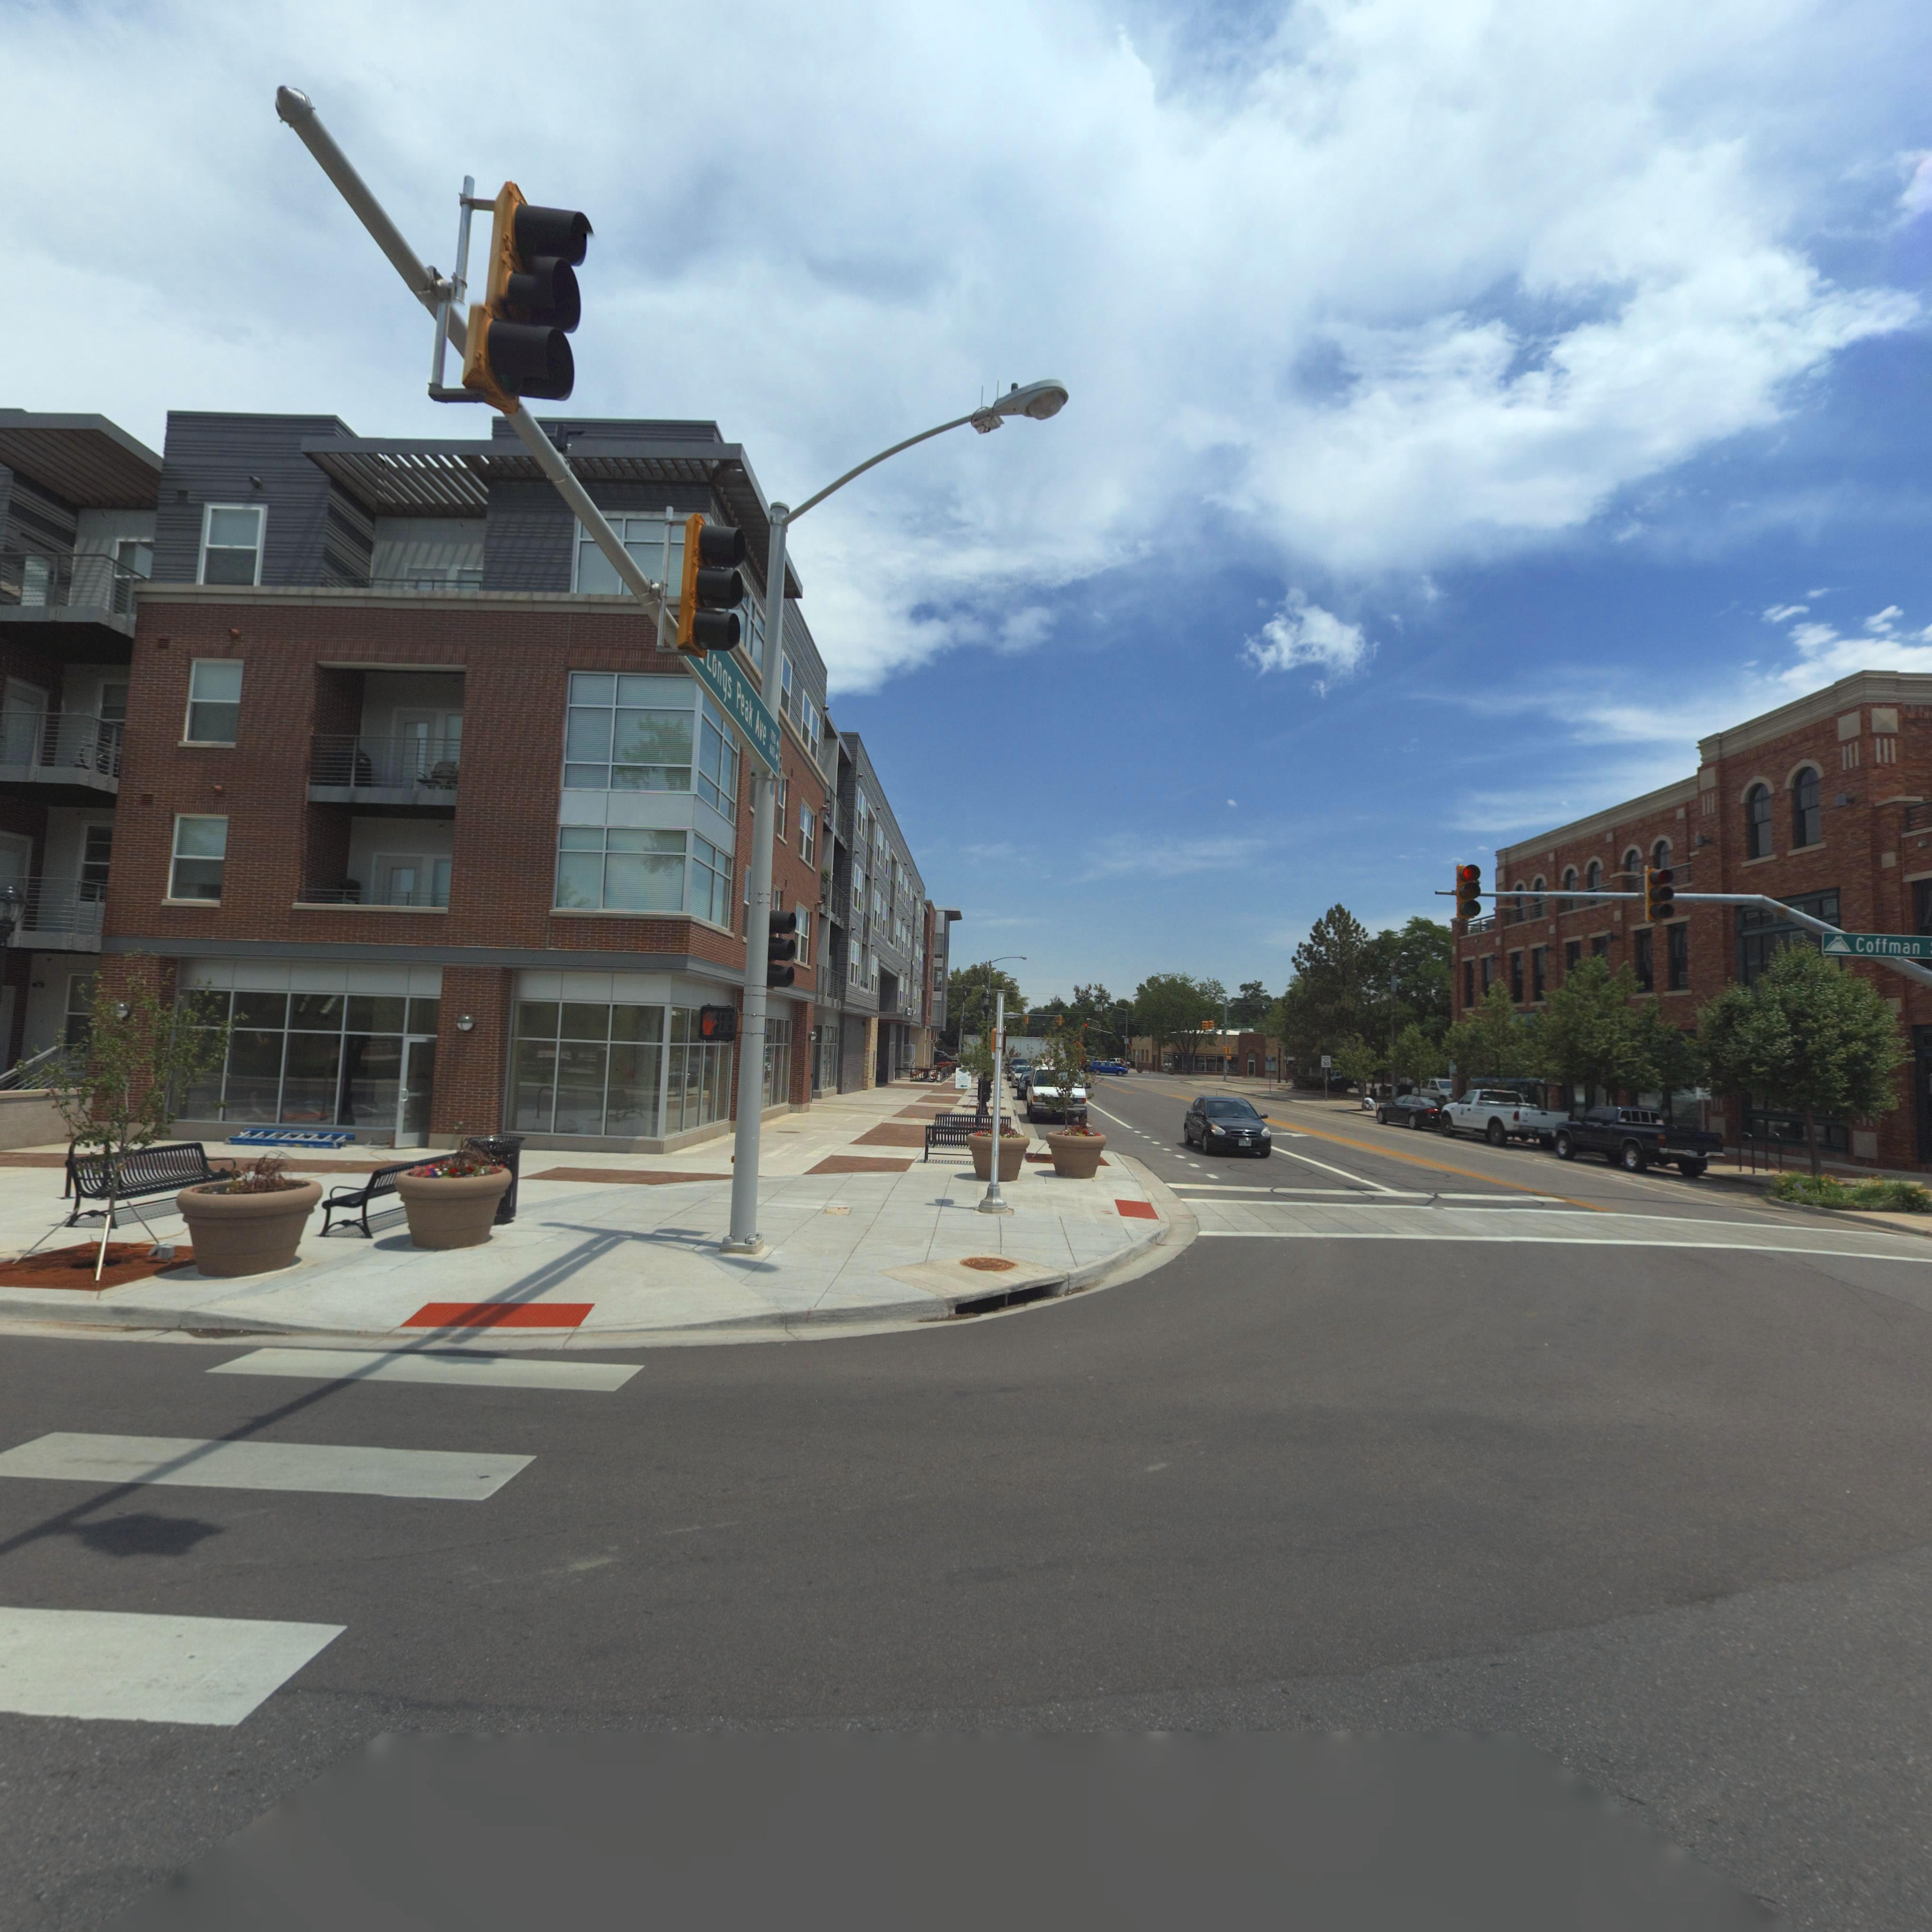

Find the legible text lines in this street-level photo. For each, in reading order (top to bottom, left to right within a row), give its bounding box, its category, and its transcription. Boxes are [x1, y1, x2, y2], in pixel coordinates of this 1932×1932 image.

[705, 643, 767, 746] StreetName: Longs Peak Ave
[769, 728, 777, 745] StreetNumberRange: 700
[768, 743, 778, 762] StreetNumberRange: 60* ->
[1855, 936, 1920, 955] StreetName: Coffman